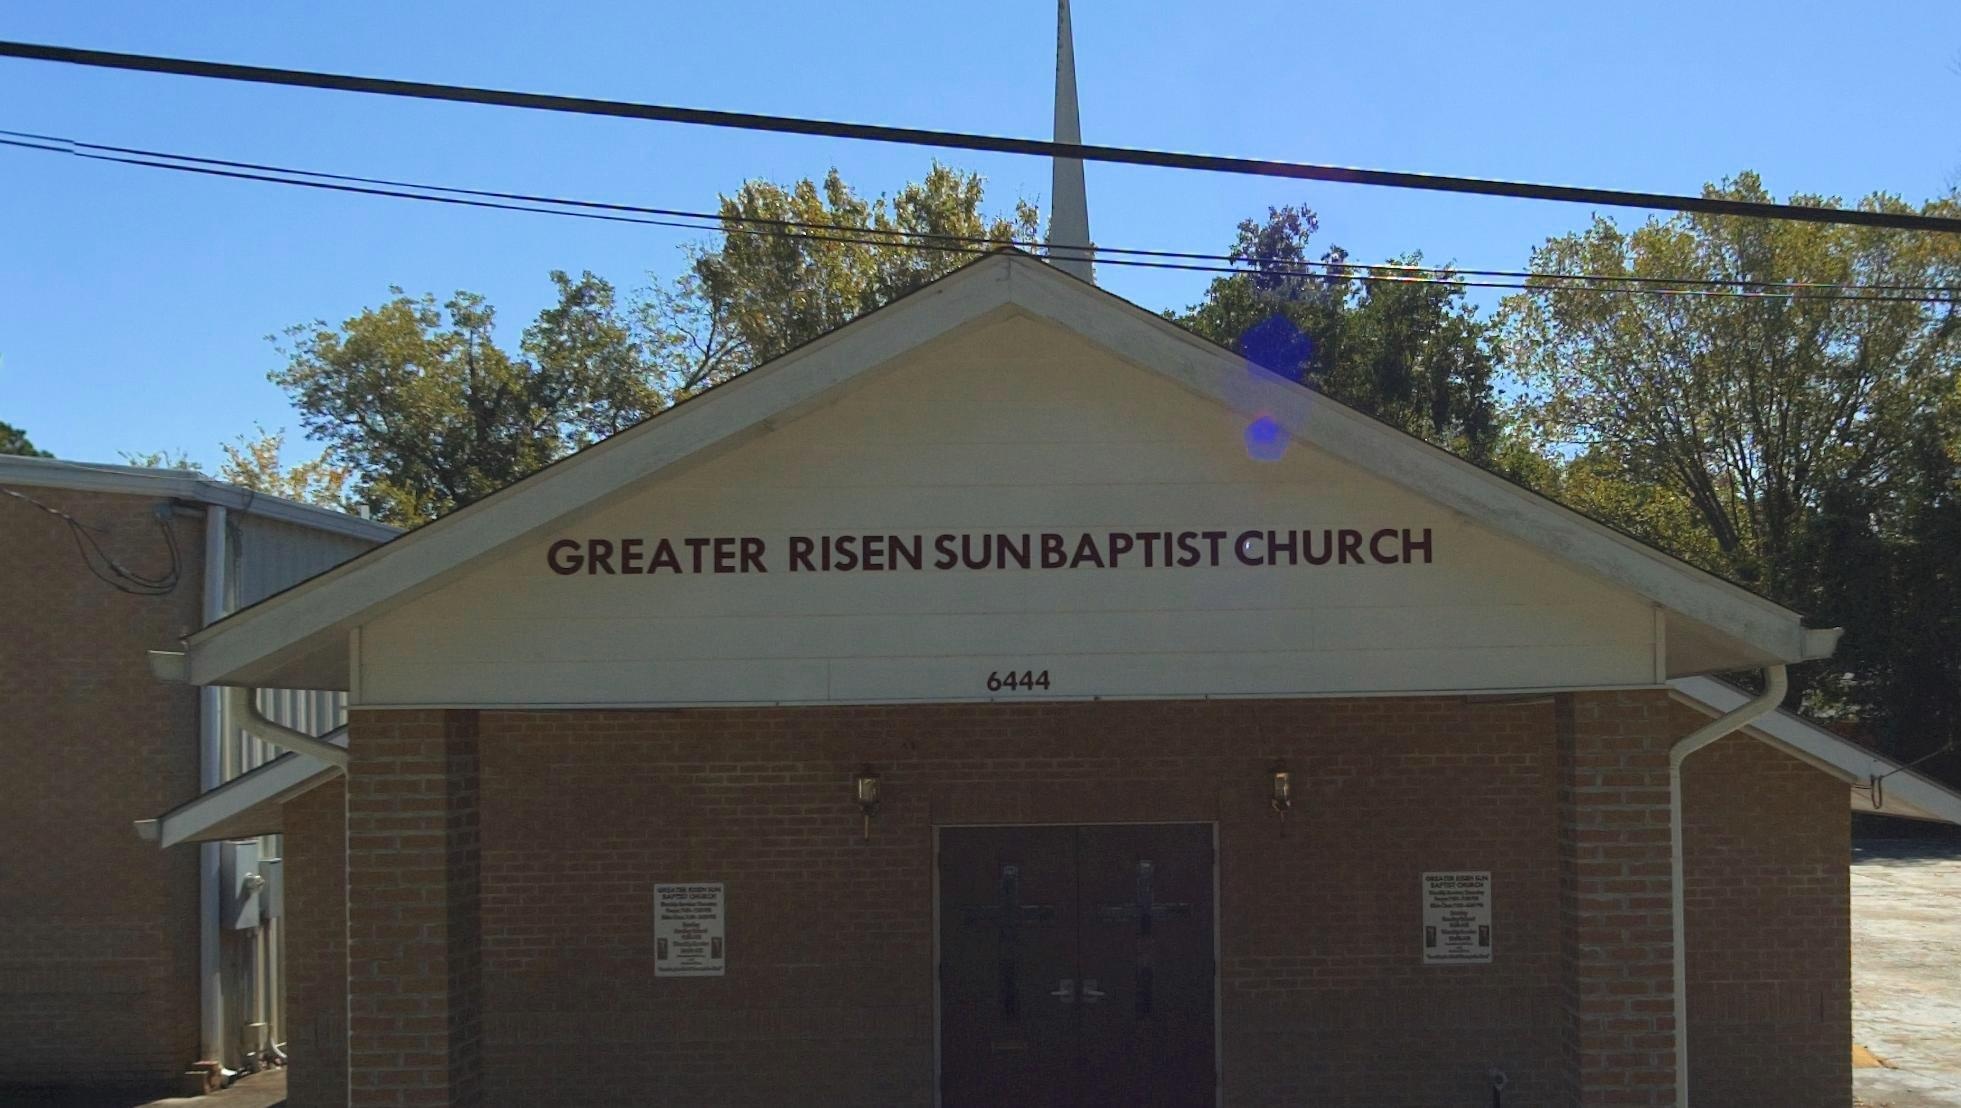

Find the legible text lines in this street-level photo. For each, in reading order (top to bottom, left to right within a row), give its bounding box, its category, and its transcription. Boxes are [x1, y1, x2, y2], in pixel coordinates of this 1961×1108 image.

[541, 523, 1436, 579] BusinessName: GREATER RISEN SUN BAPTIST CHURCH
[983, 666, 1054, 695] StreetNumber: 6444
[1473, 880, 1482, 889] None: O